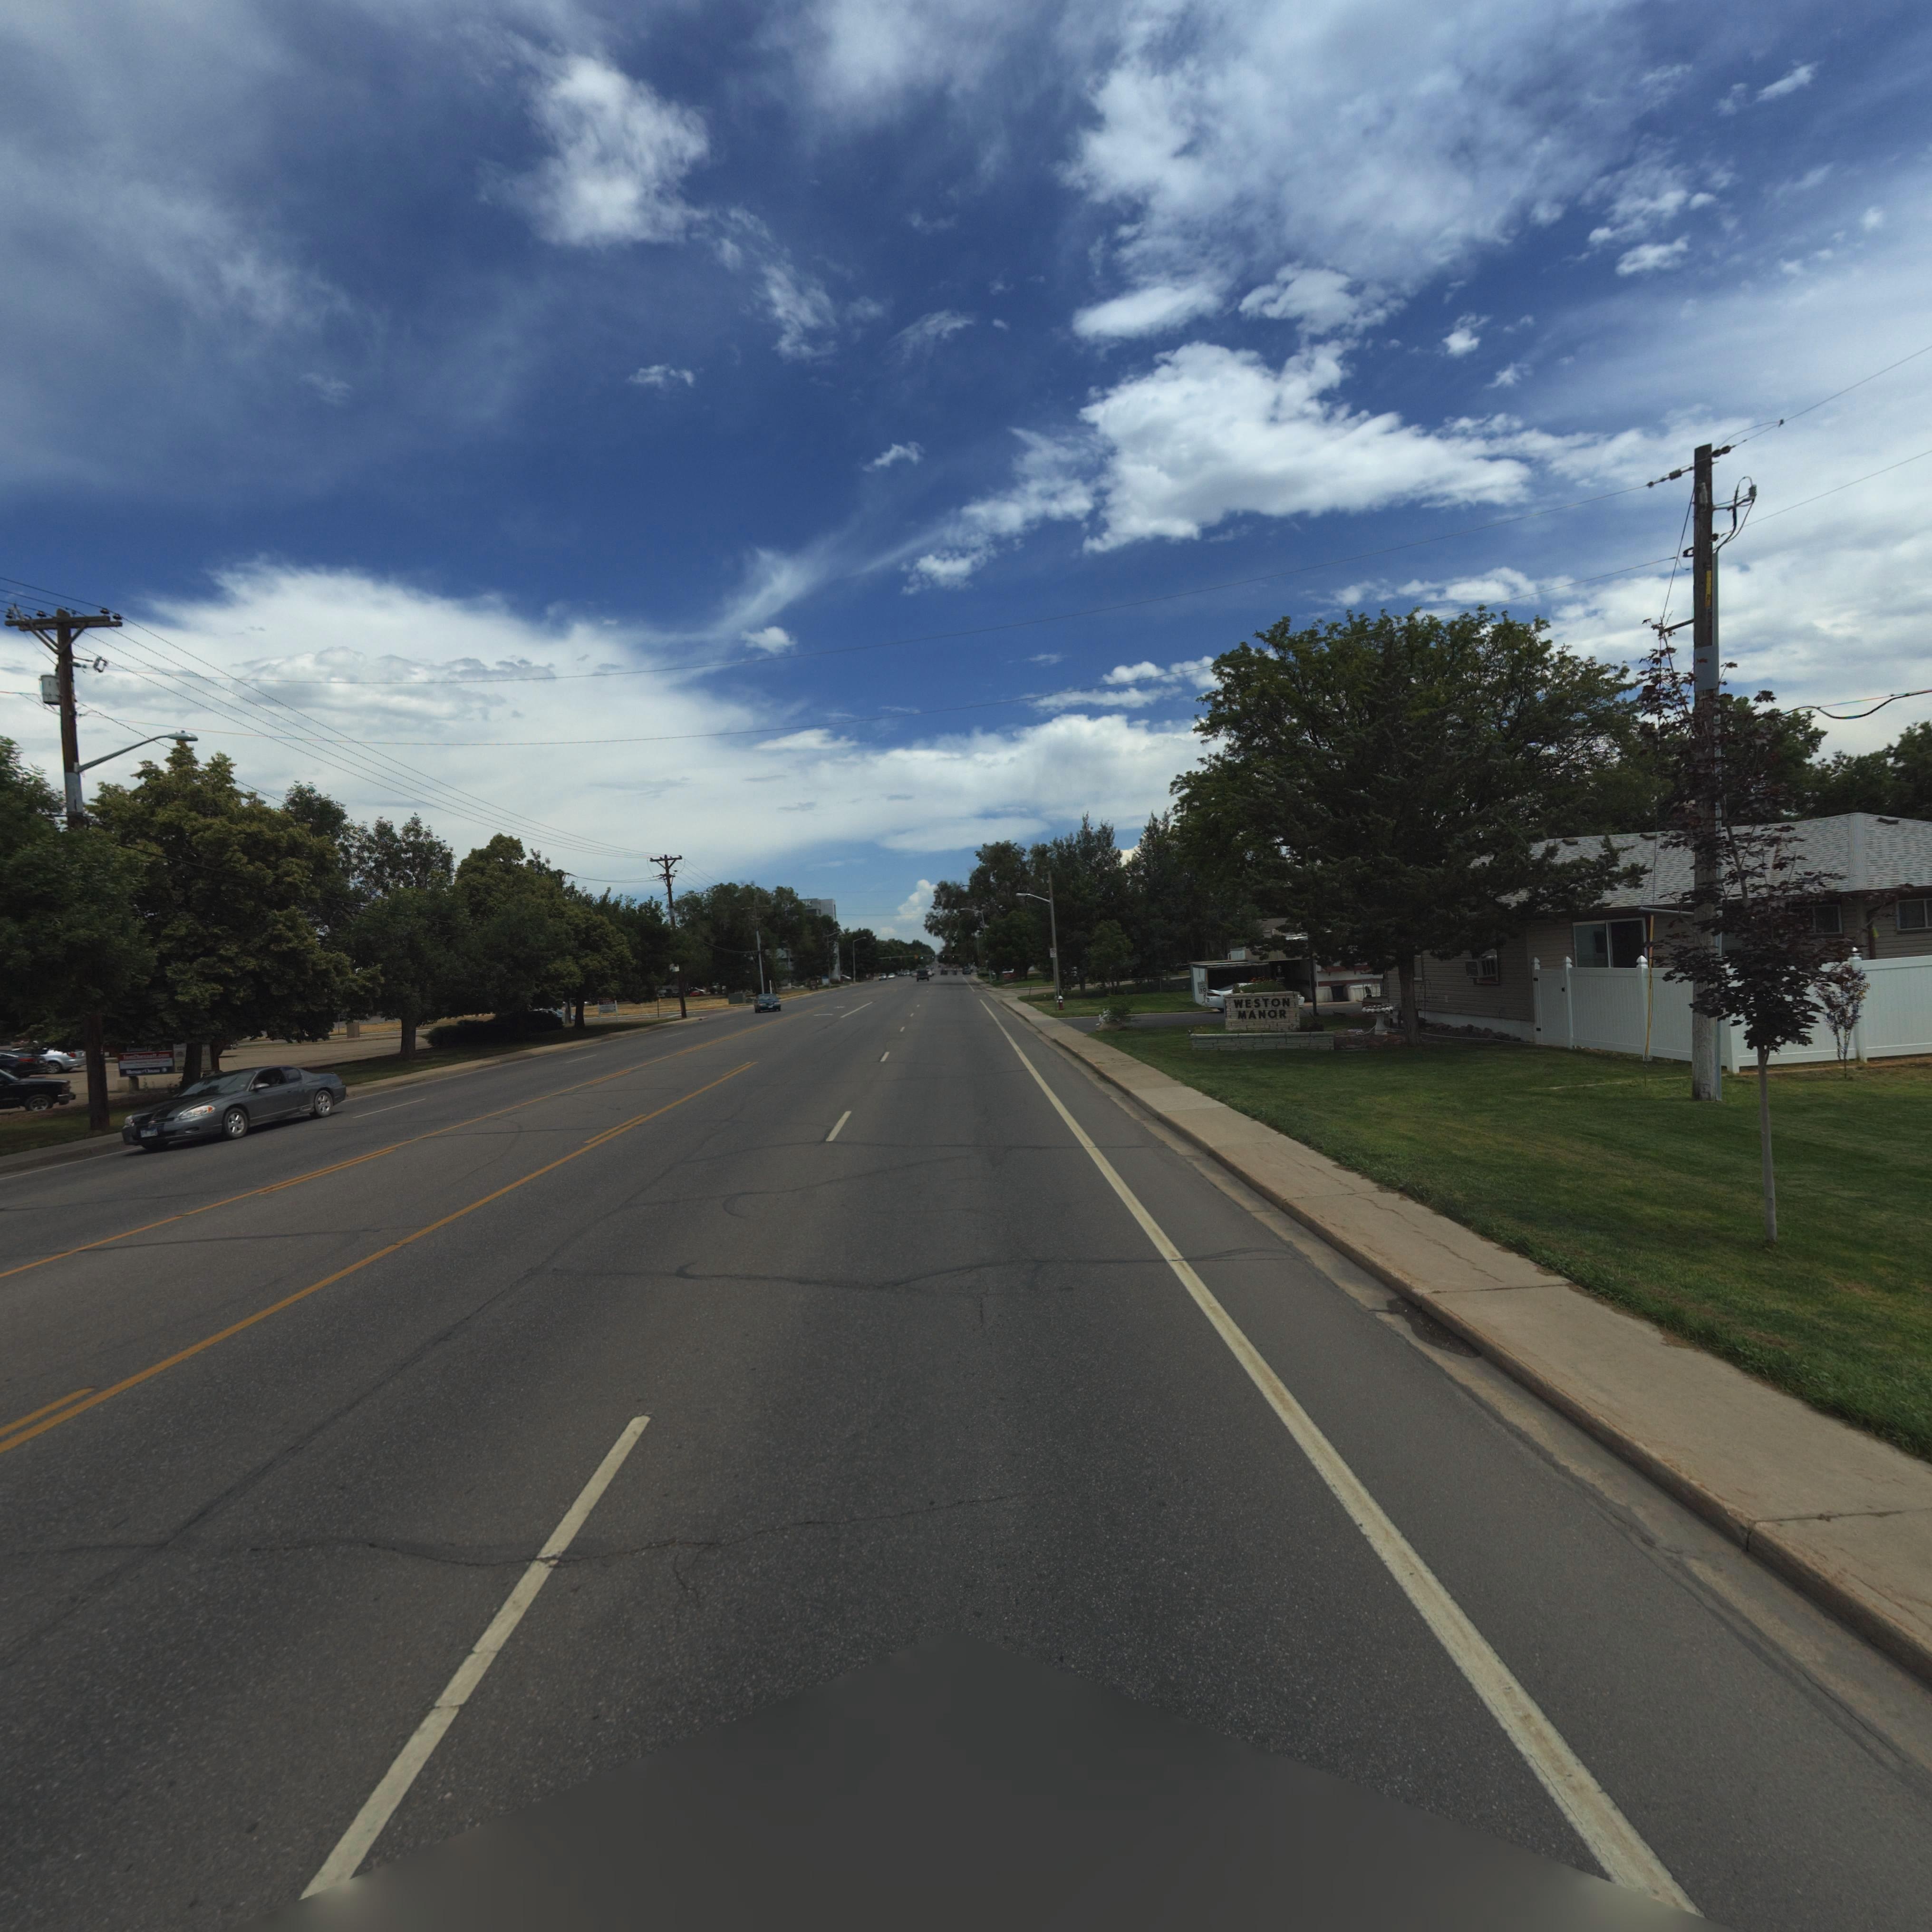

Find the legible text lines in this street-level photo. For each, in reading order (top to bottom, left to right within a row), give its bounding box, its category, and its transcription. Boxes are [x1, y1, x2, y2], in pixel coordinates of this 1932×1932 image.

[781, 899, 812, 908] BusinessName: *S****